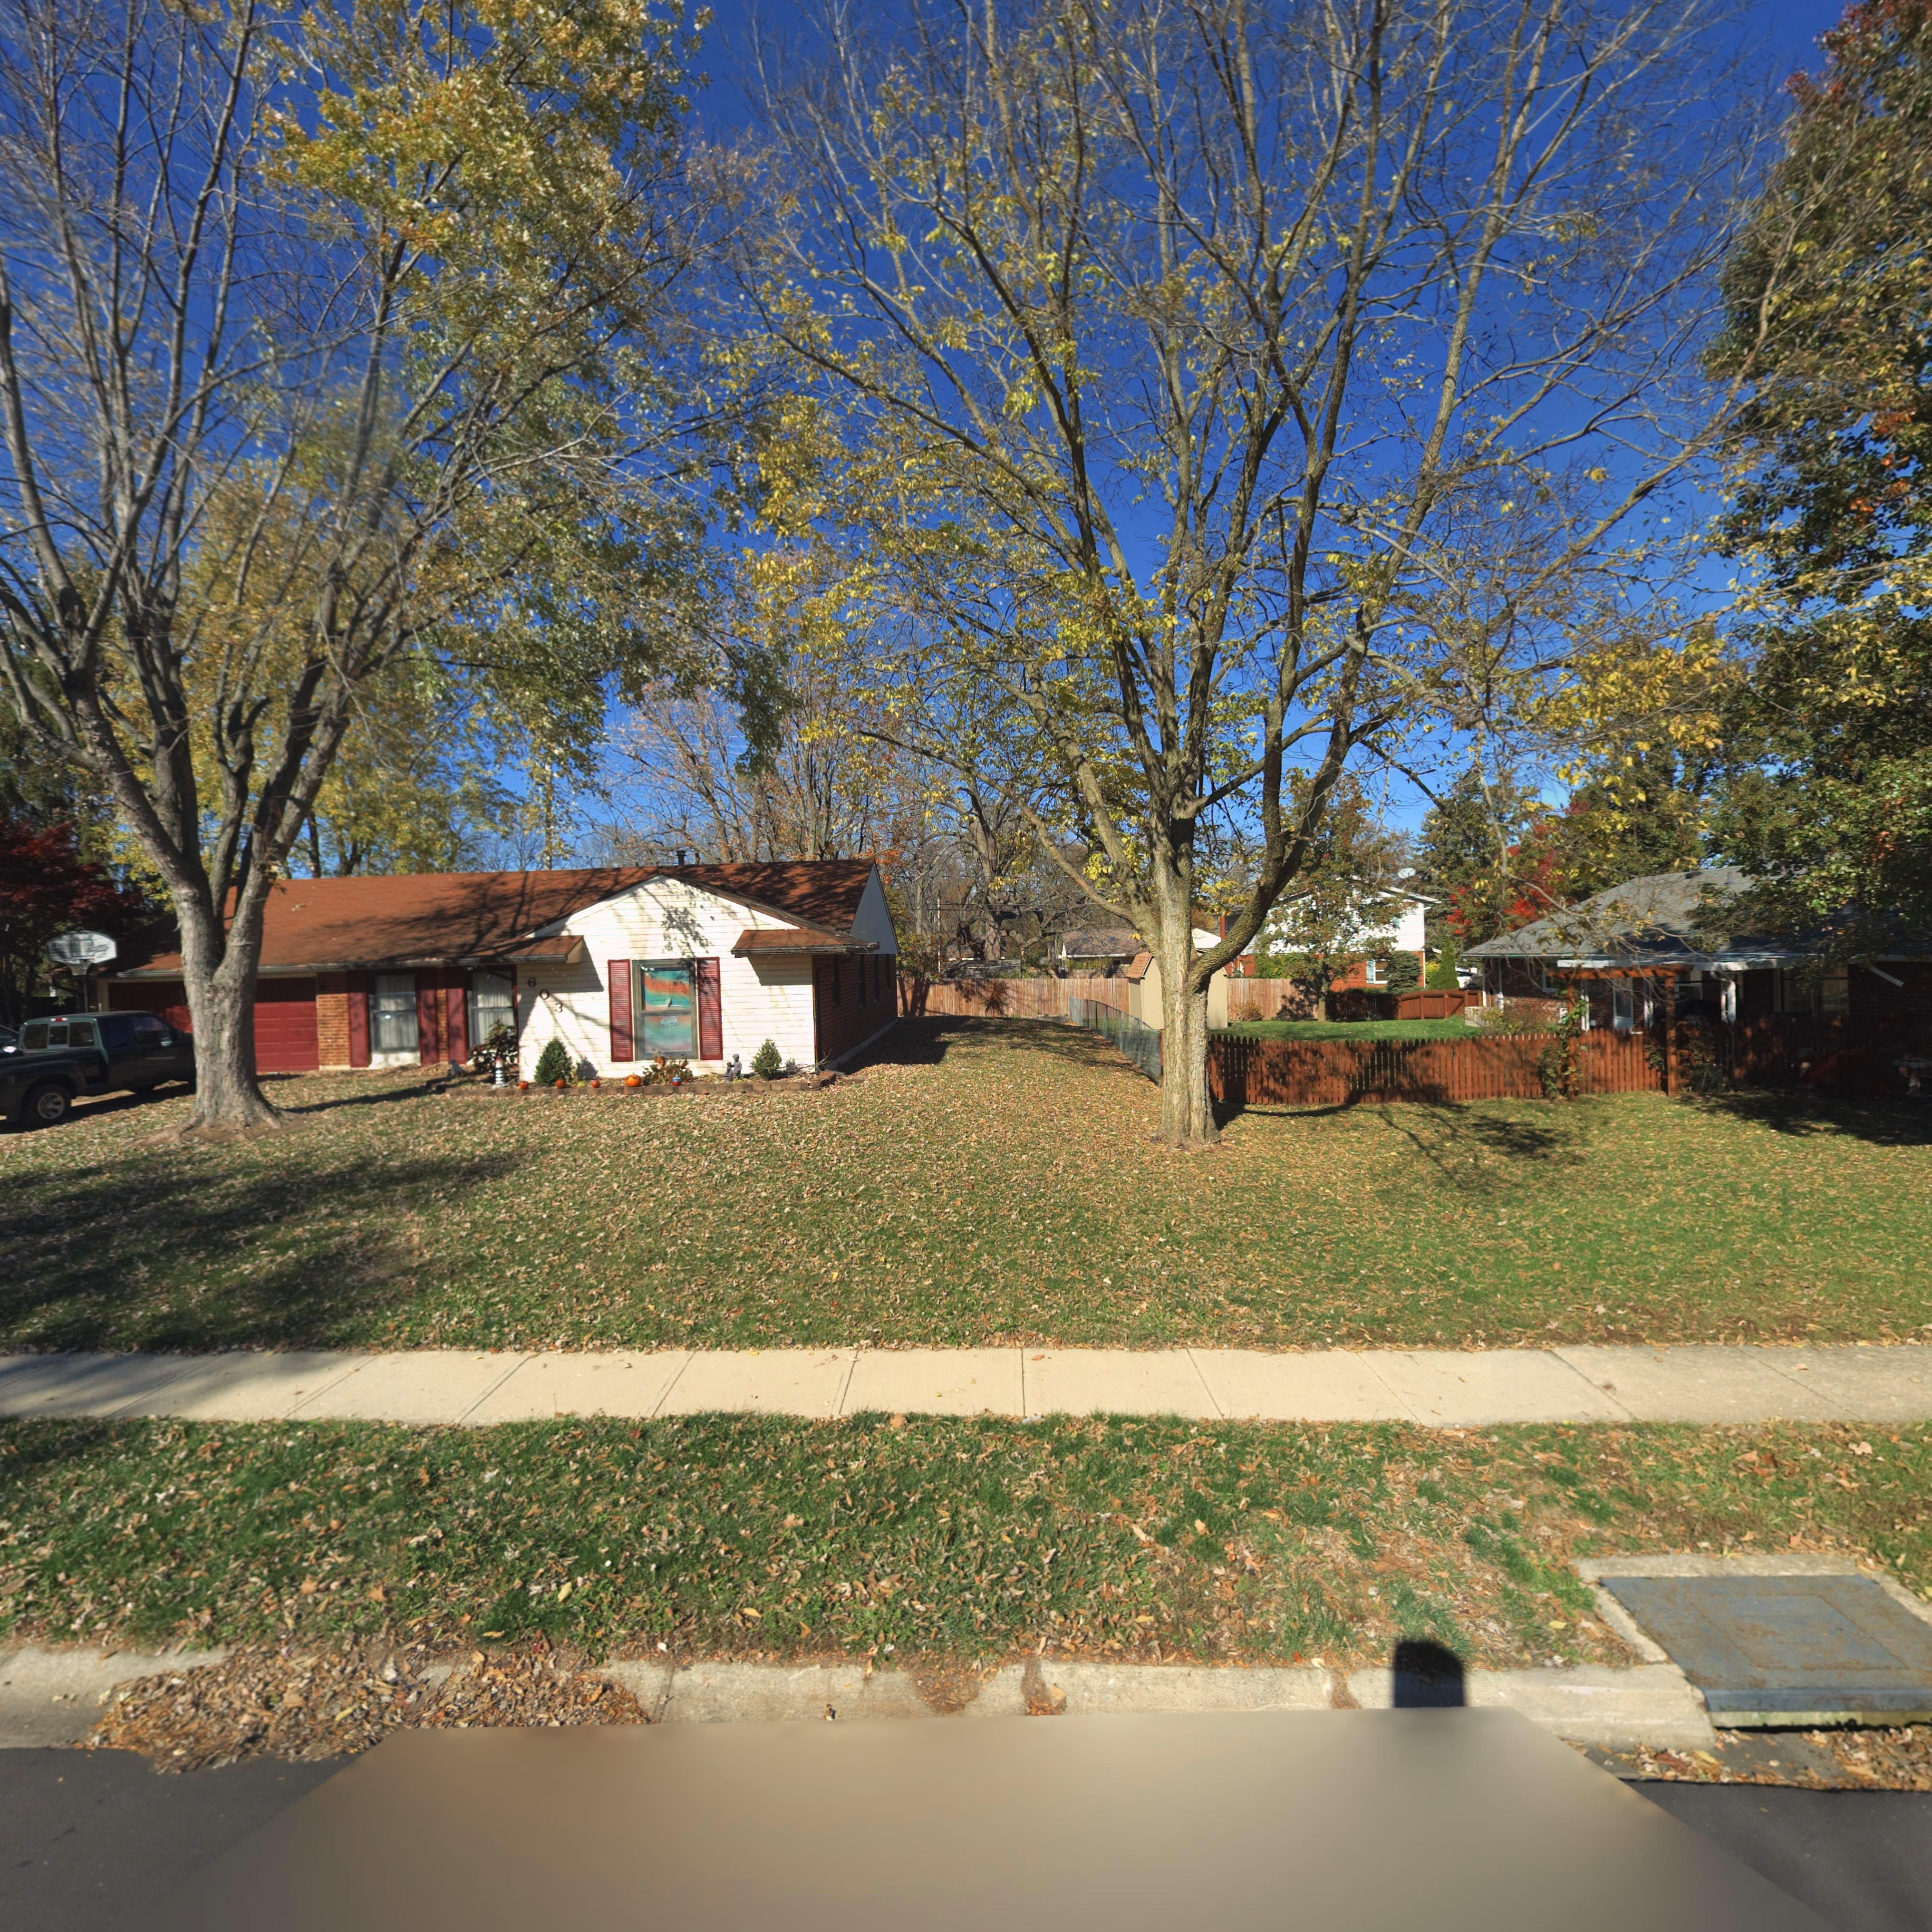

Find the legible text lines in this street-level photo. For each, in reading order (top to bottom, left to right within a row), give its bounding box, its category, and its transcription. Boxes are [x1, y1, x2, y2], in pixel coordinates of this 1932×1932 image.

[527, 976, 563, 1014] StreetNumber: 603